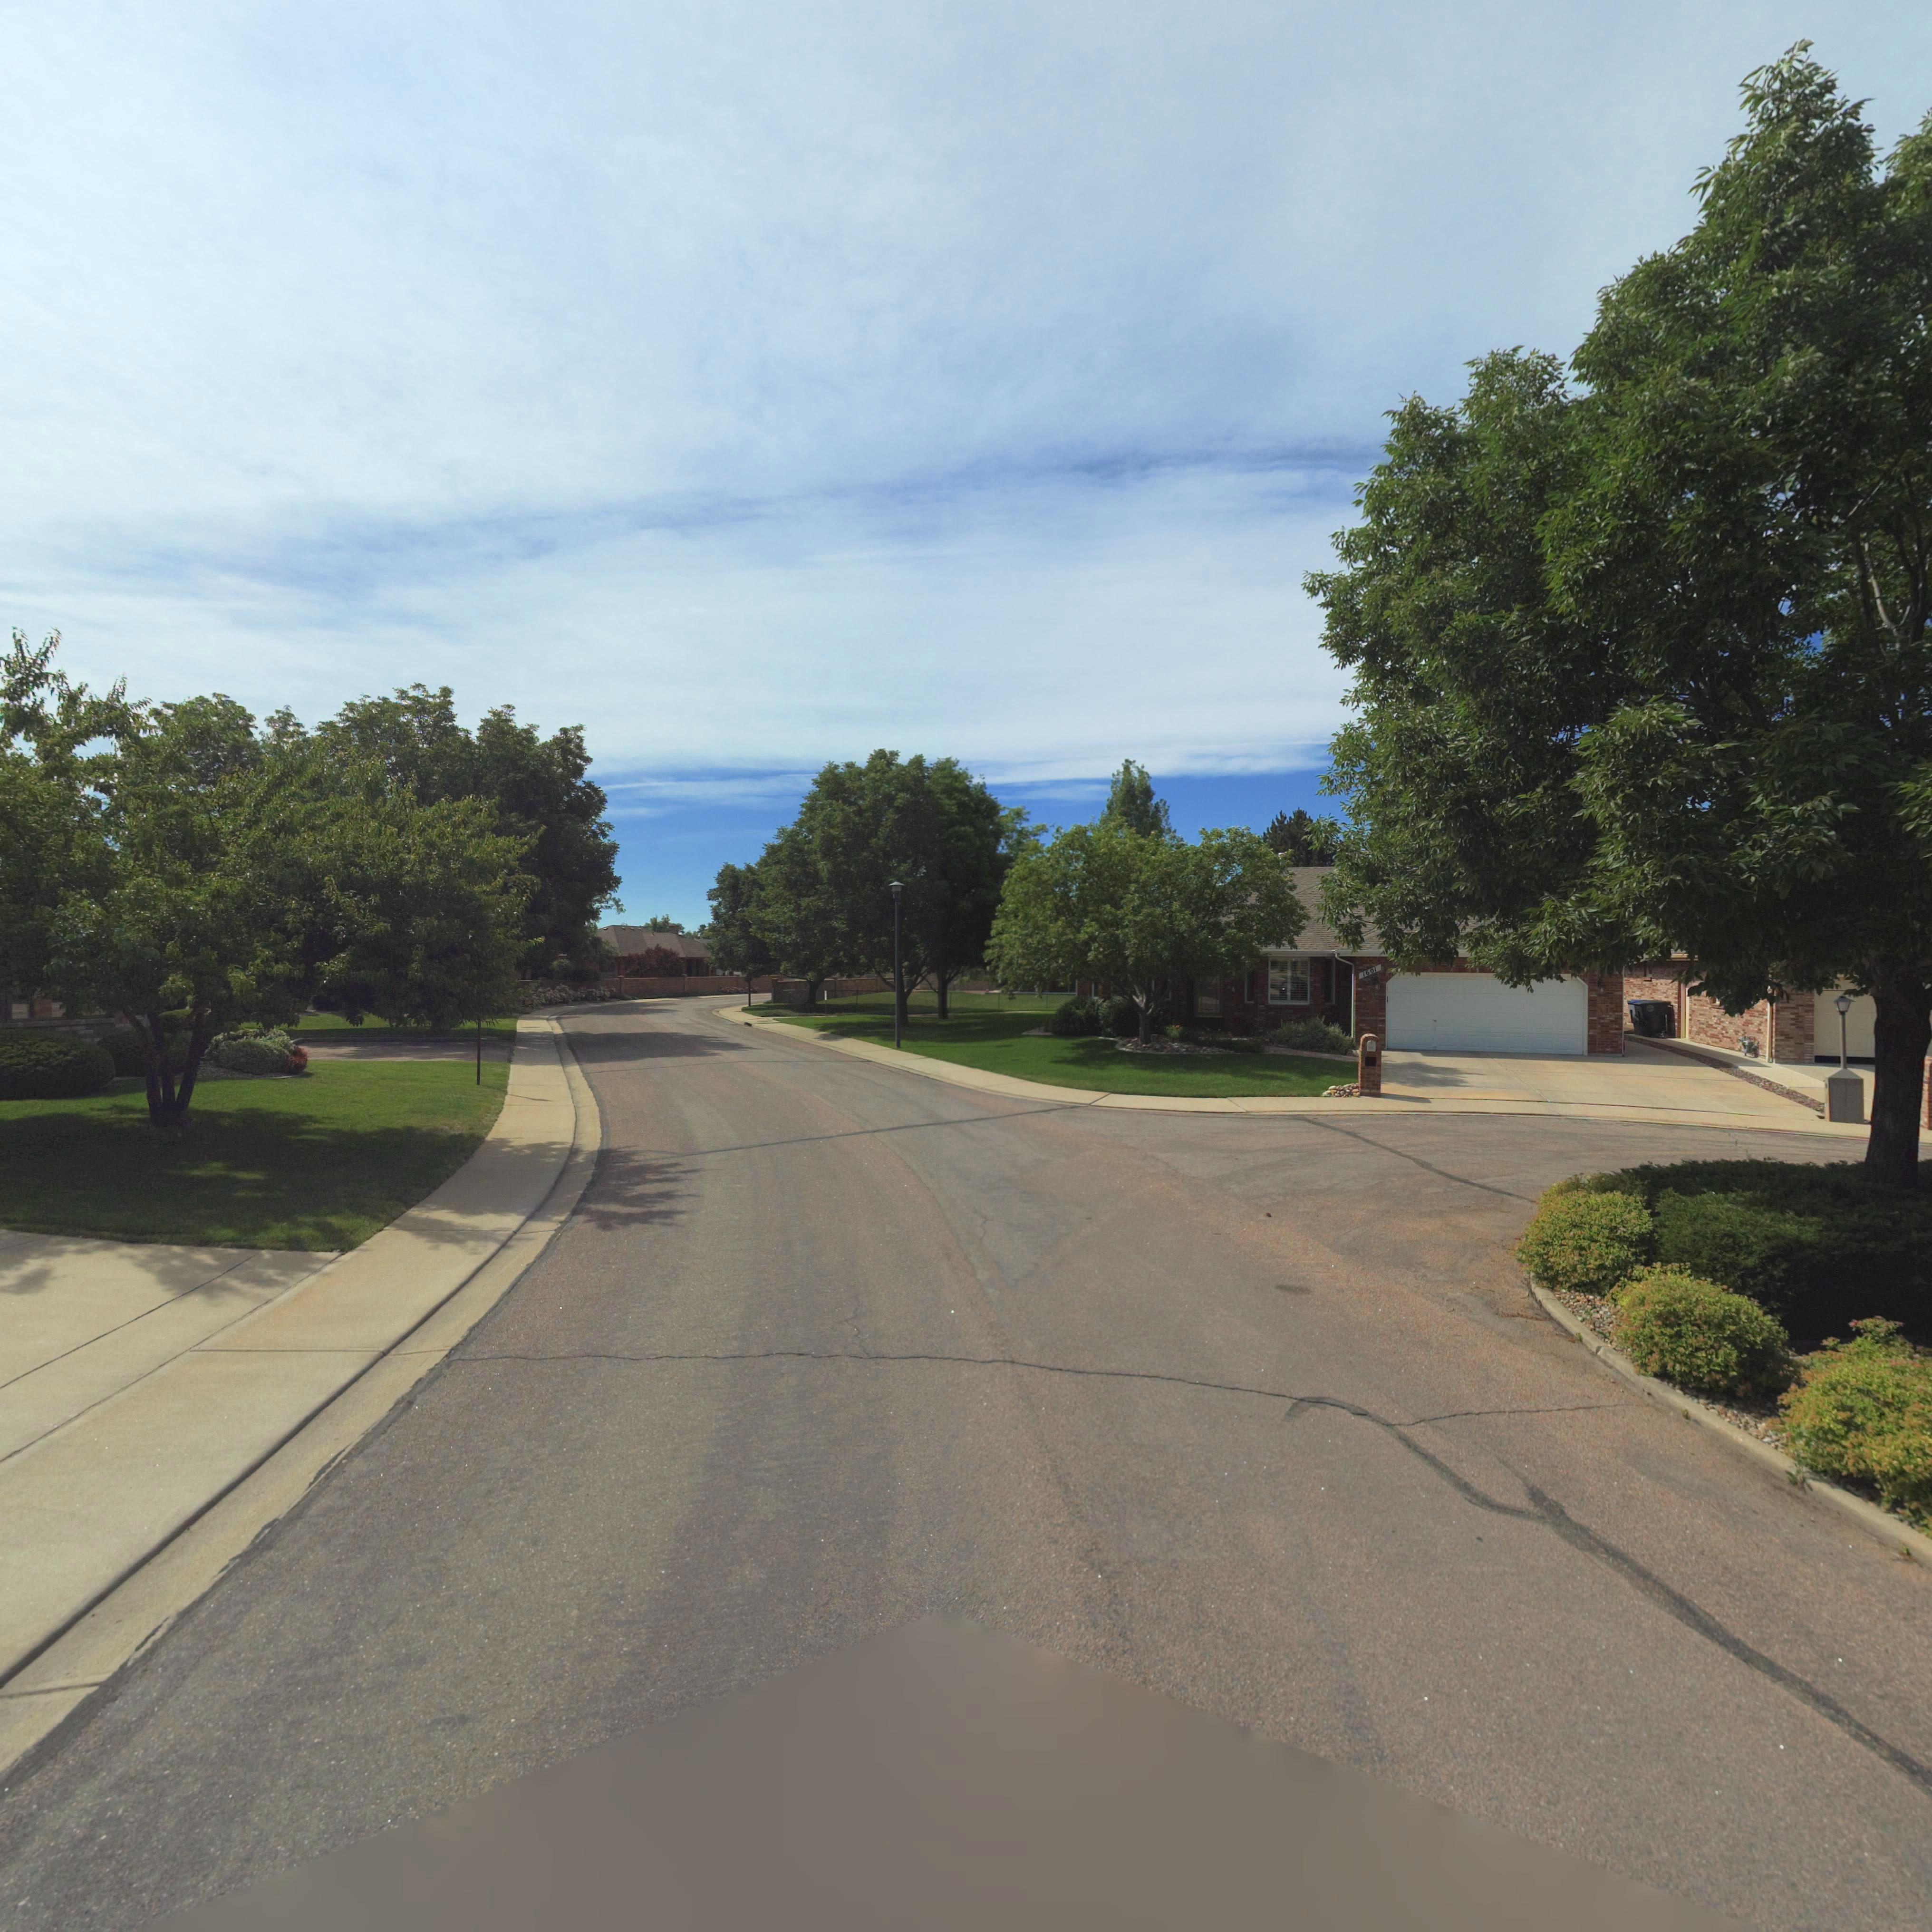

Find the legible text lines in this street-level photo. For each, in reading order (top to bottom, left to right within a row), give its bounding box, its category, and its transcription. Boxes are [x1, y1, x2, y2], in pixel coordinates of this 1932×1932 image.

[1362, 966, 1377, 977] StreetNumber: 1601